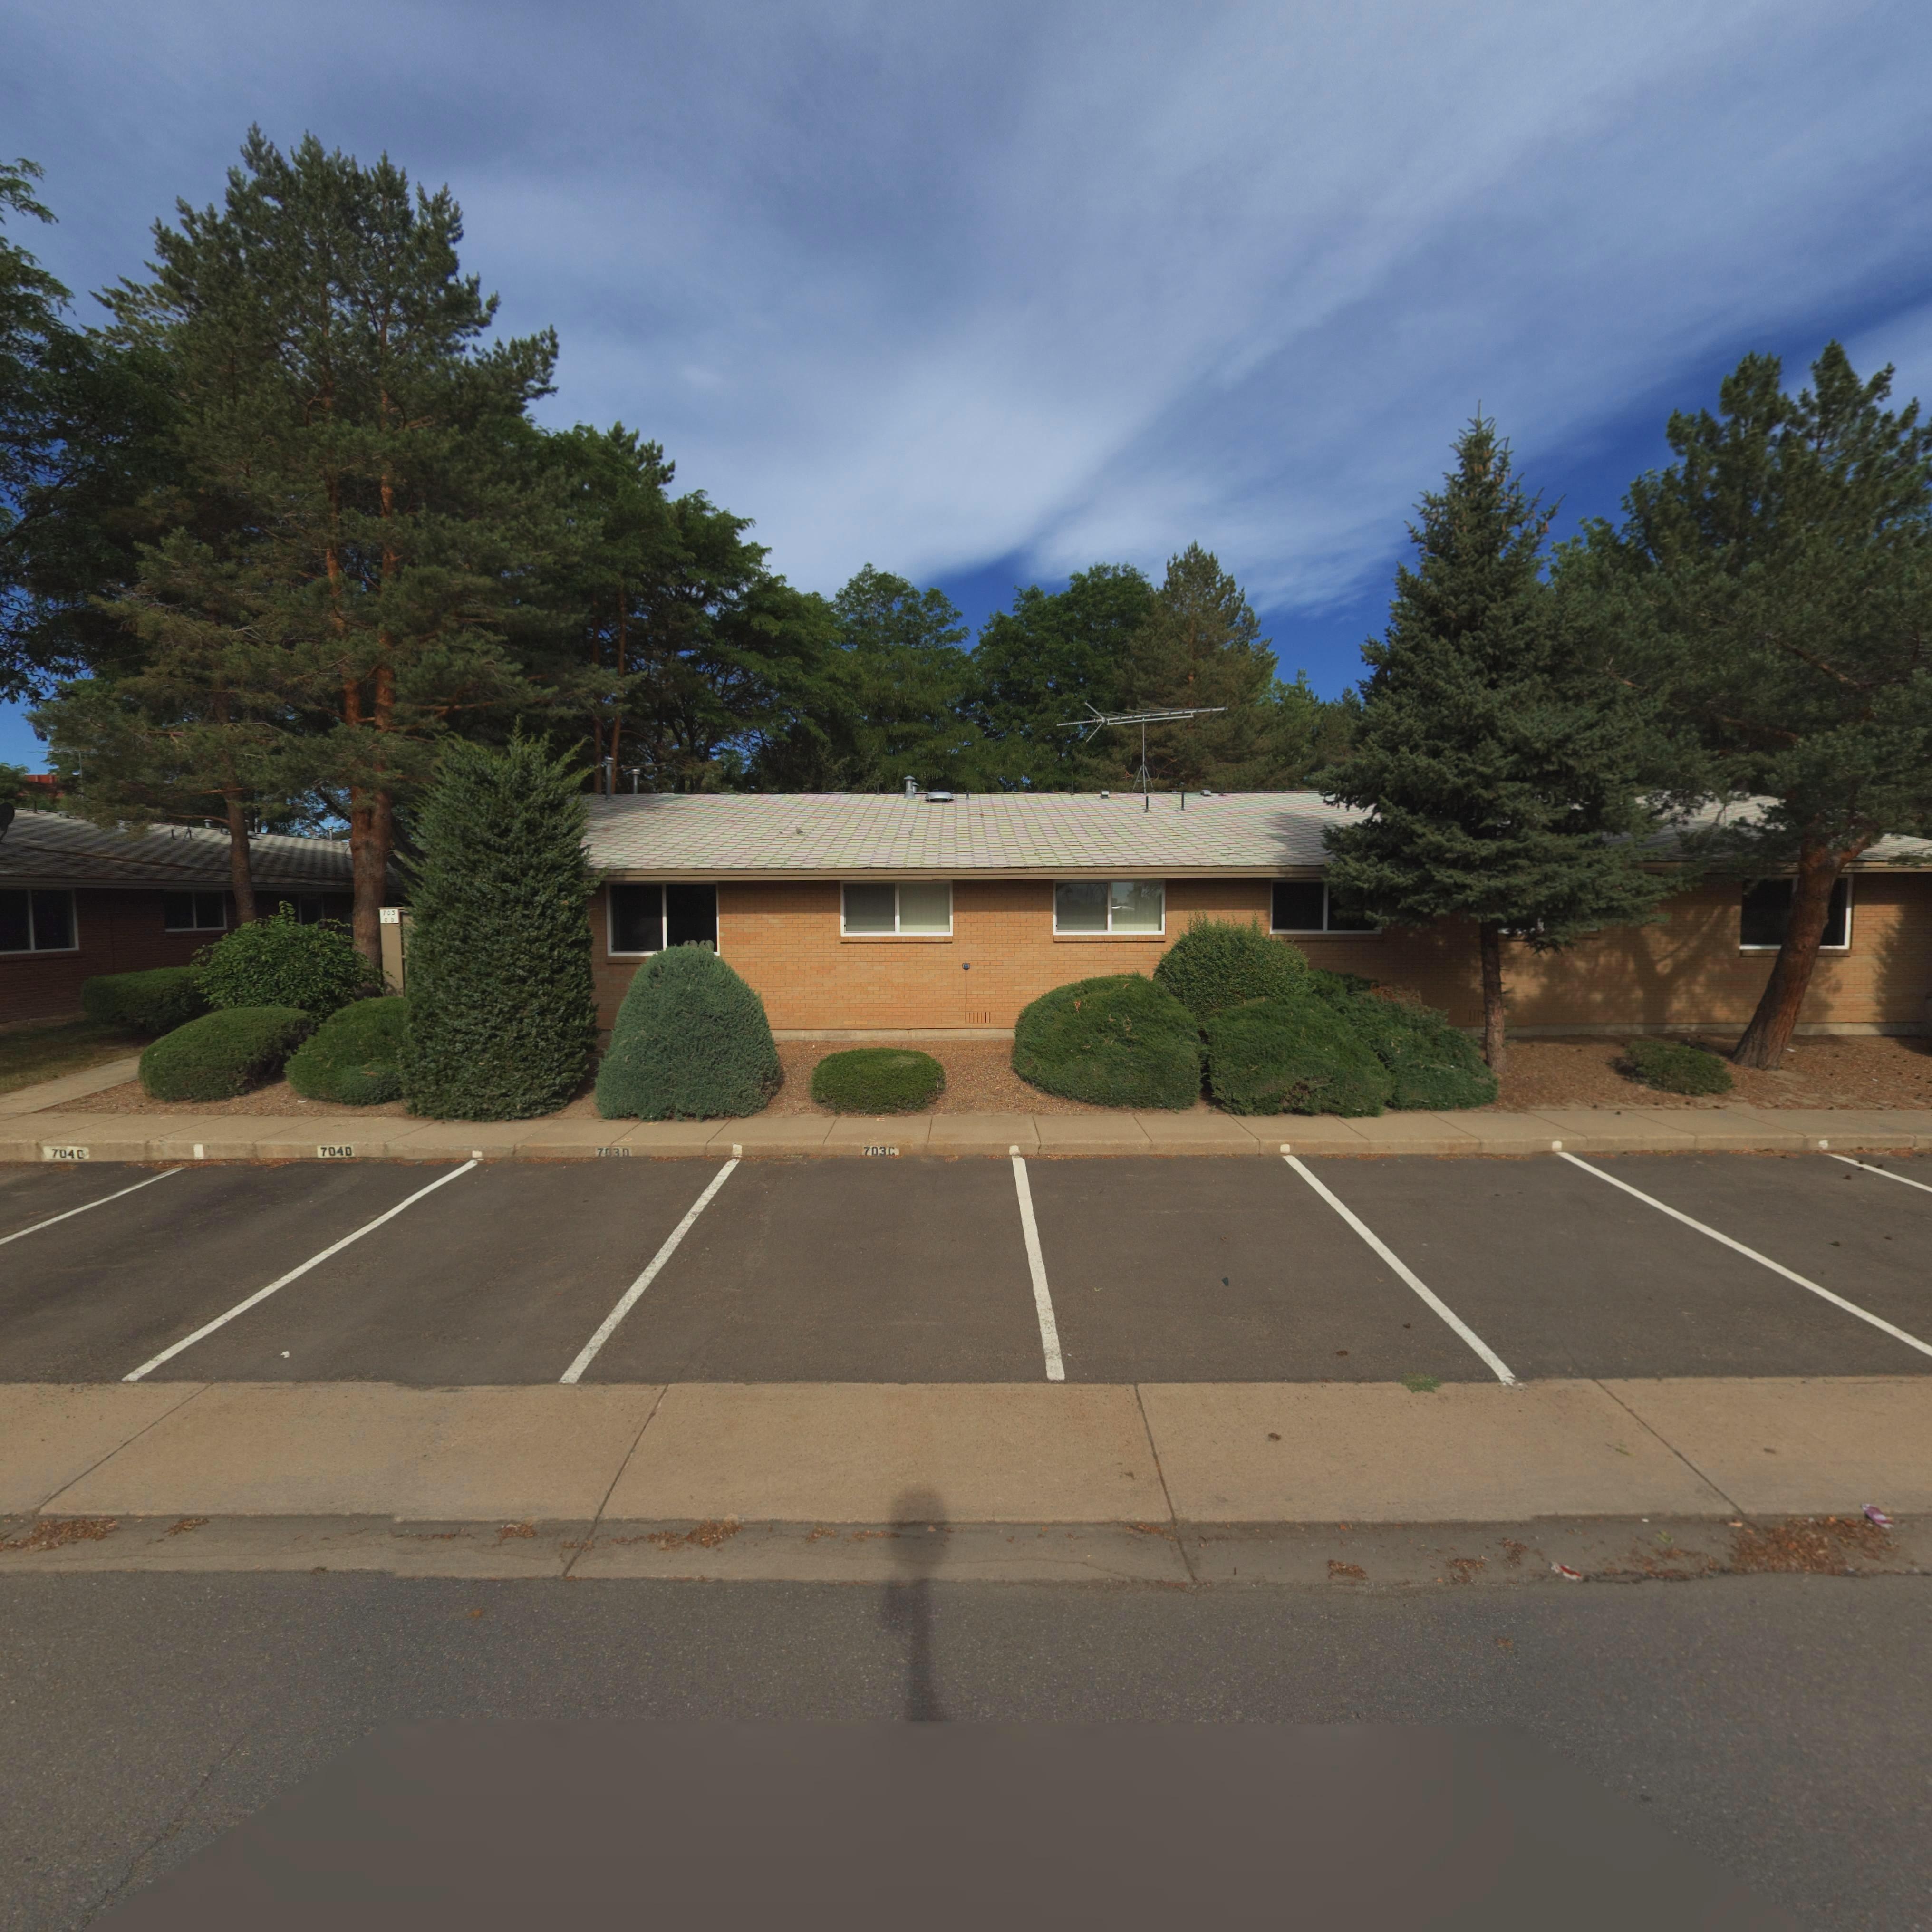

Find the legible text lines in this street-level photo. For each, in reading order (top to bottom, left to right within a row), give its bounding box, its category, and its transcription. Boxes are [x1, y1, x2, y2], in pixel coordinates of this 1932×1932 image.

[382, 909, 396, 916] StreetNumber: 703
[384, 917, 395, 922] StreetNumber: C D